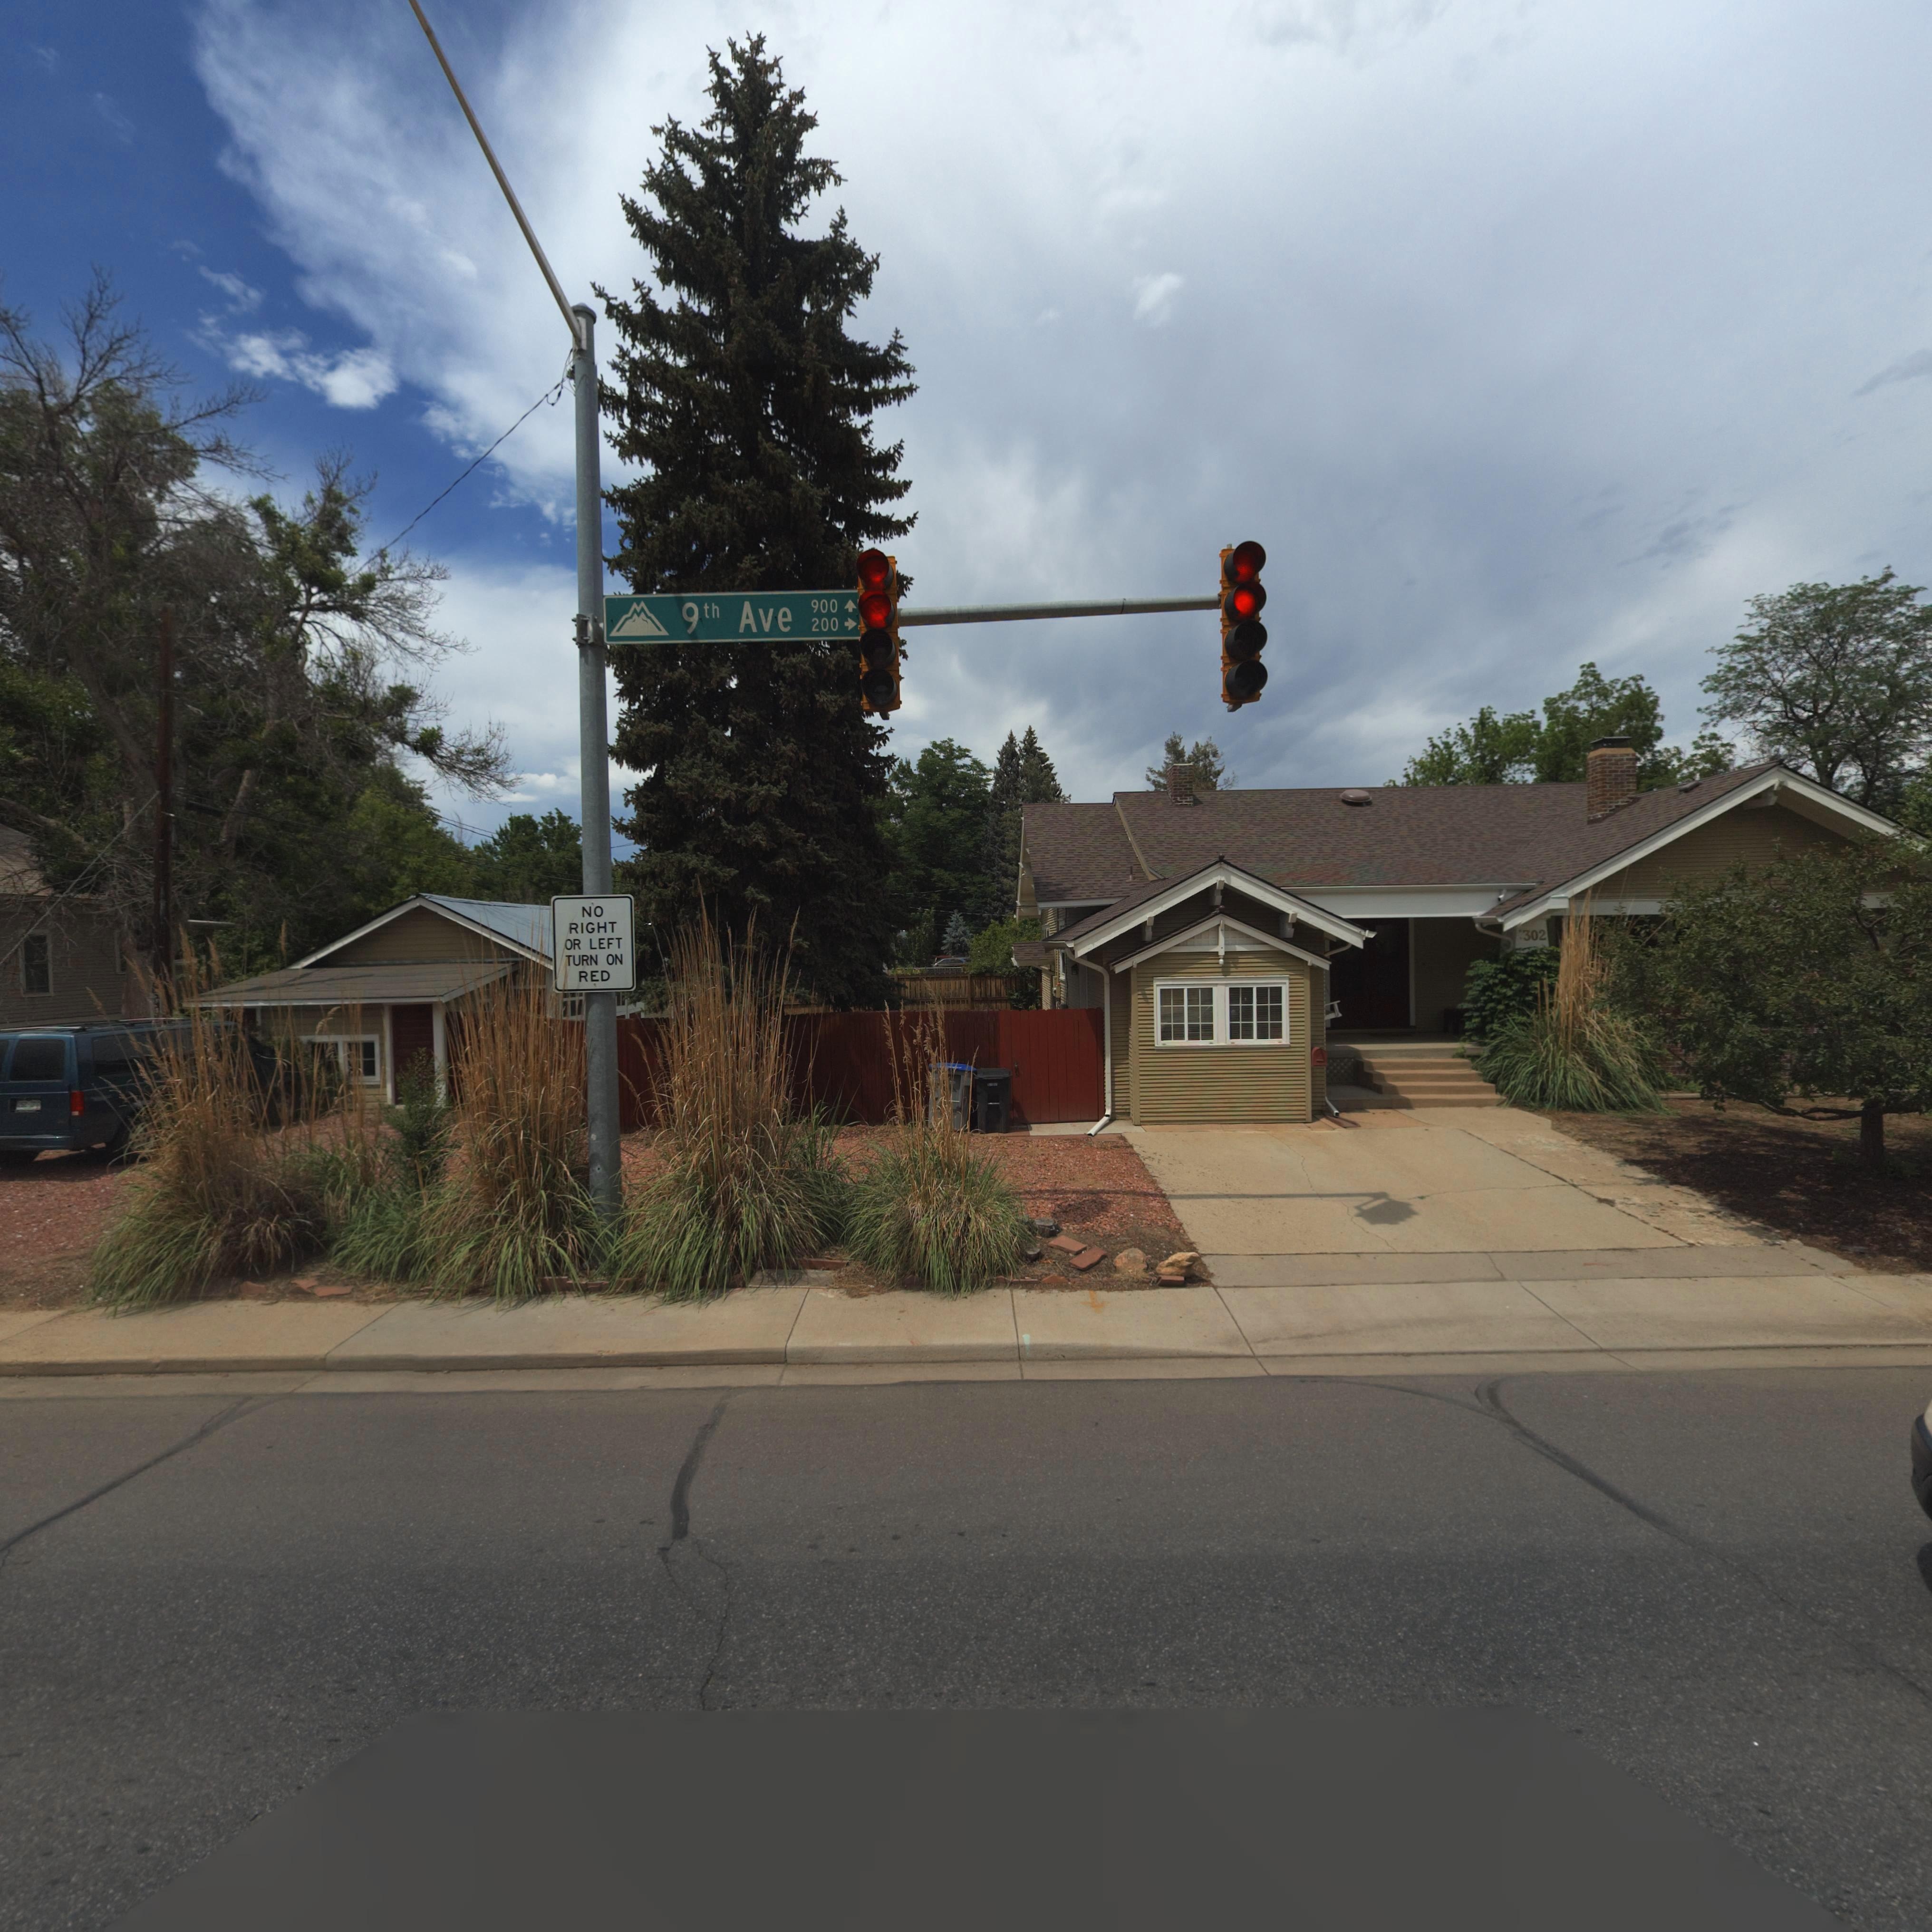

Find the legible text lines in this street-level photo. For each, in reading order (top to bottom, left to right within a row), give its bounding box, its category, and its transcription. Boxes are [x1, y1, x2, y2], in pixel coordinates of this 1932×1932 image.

[811, 599, 838, 613] StreetNumberRange: 900
[682, 600, 792, 635] StreetName: 9th Ave
[811, 617, 858, 631] StreetNumberRange: 200->
[1522, 929, 1546, 941] StreetNumber: 302